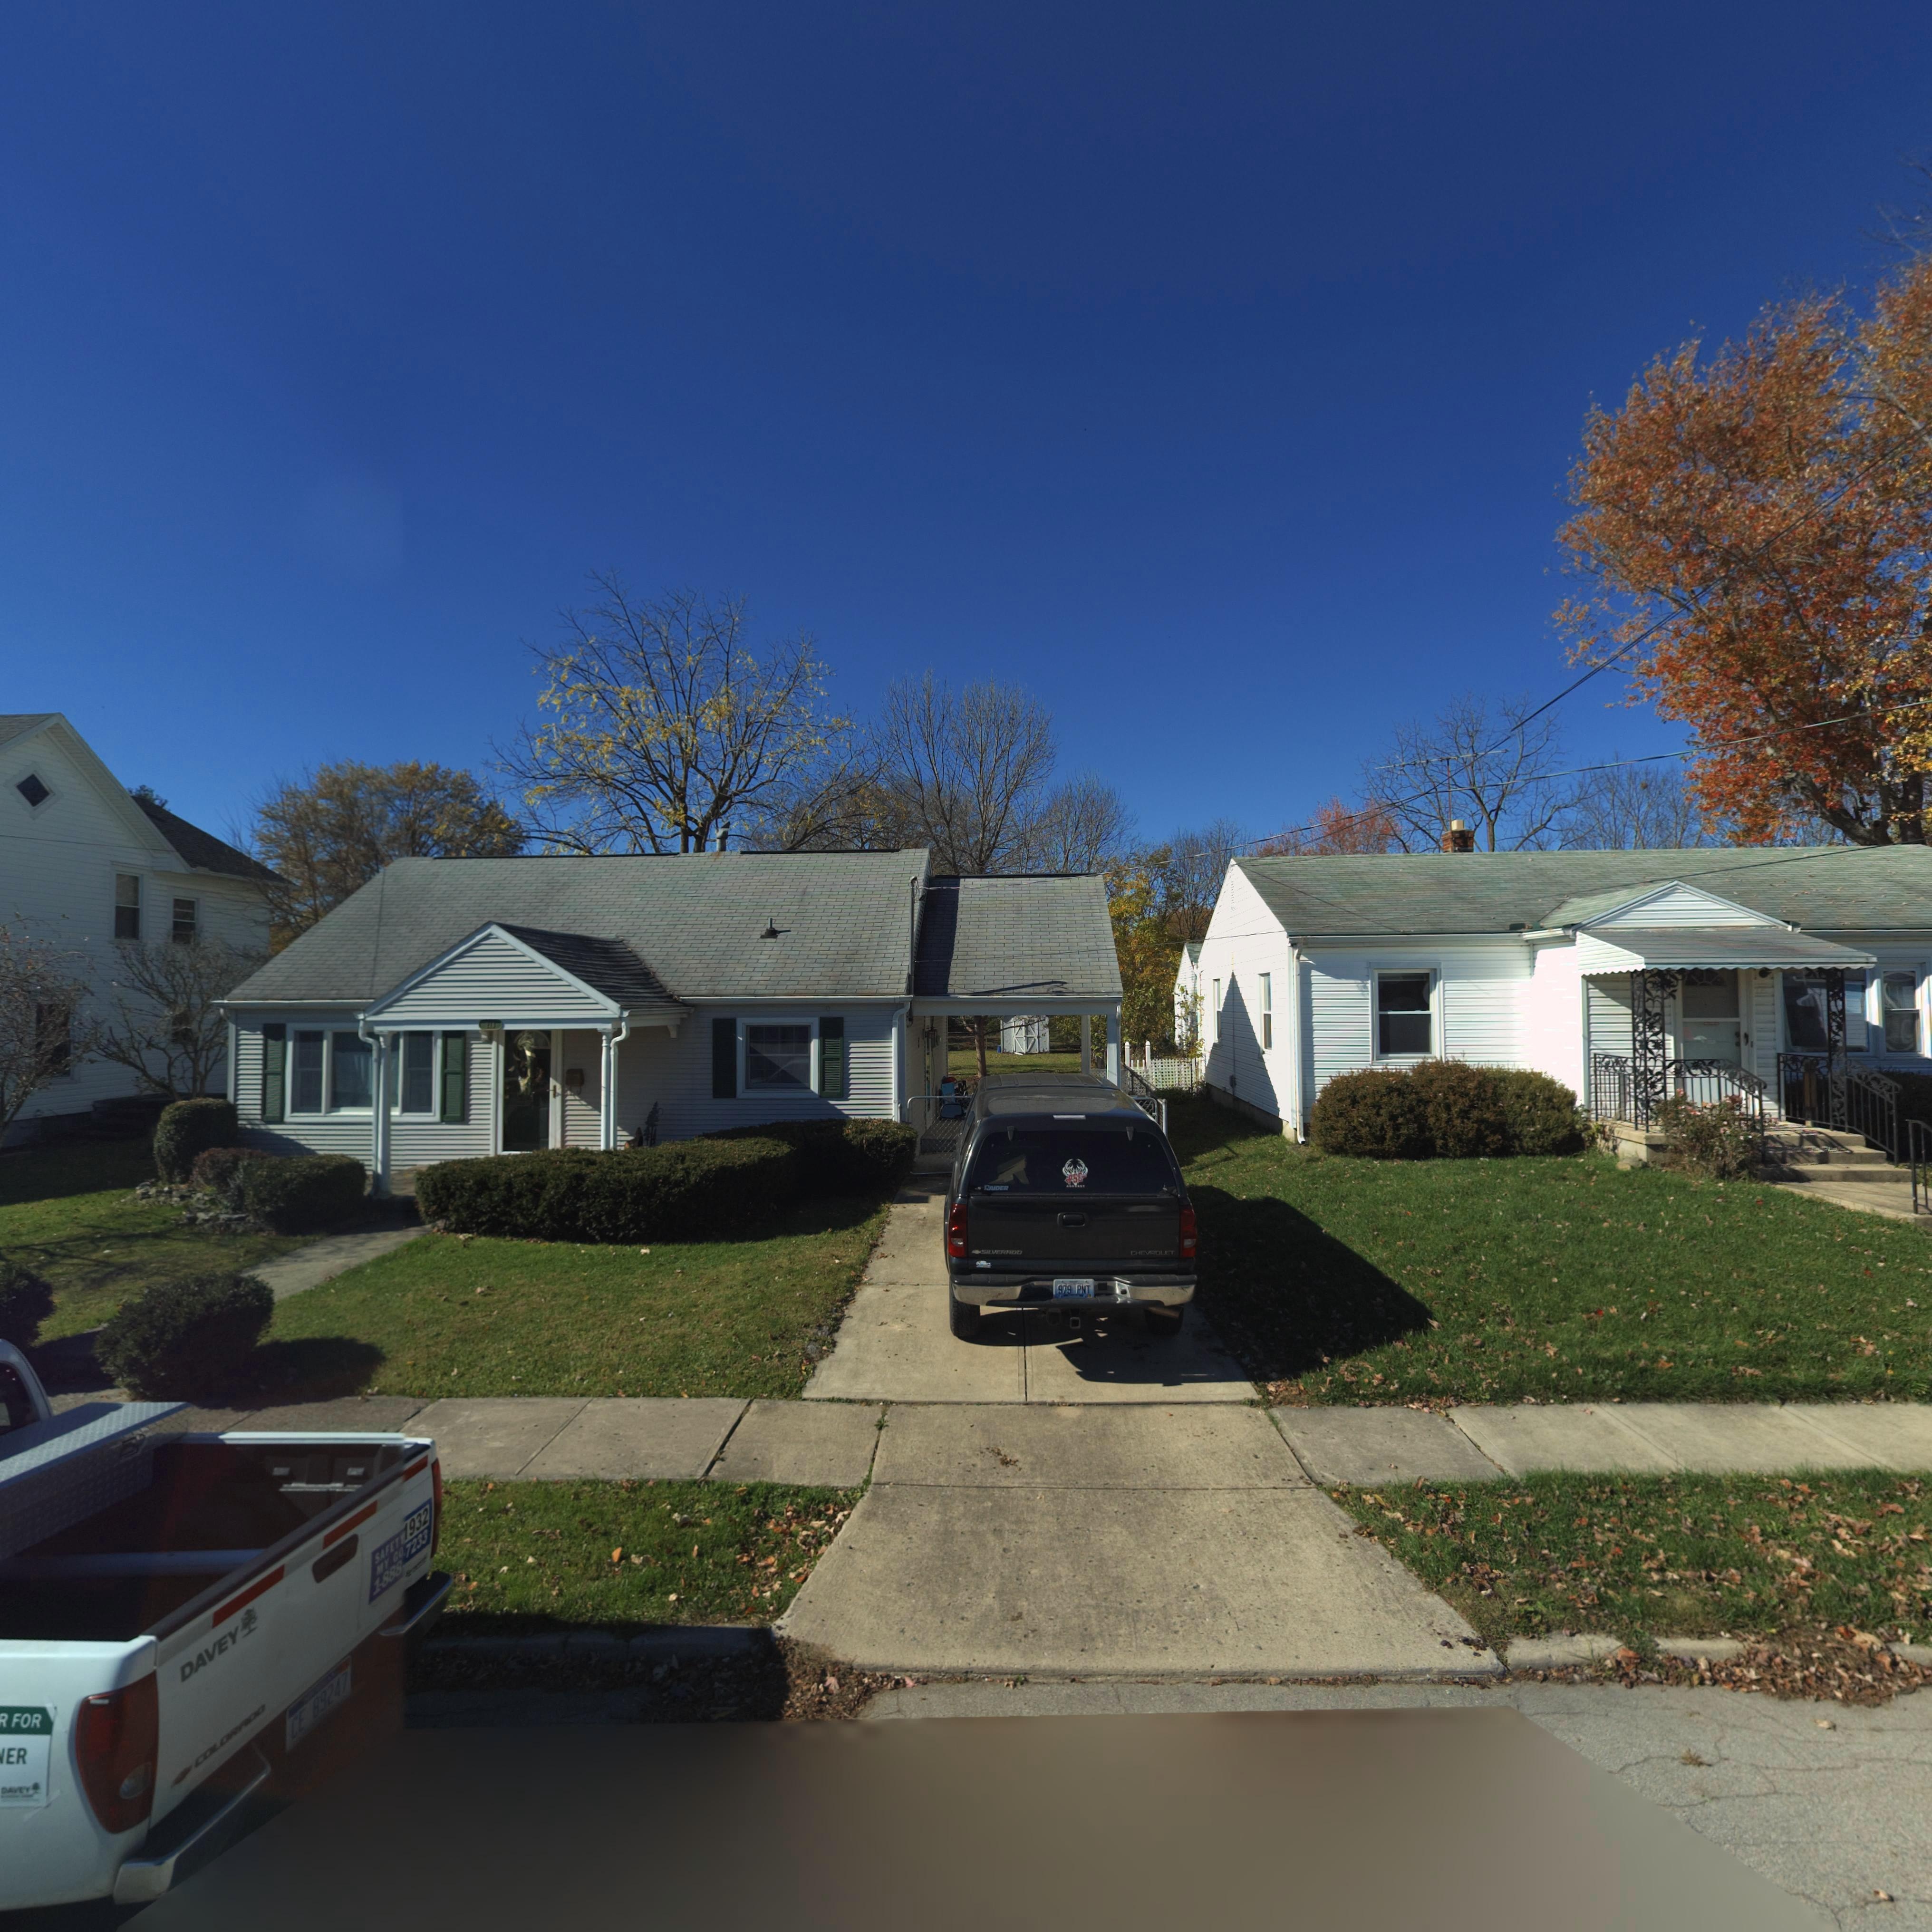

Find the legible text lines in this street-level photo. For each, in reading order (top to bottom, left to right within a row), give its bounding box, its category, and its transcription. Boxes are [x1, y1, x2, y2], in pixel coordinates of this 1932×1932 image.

[1754, 986, 1767, 994] StreetNumber: 2*5
[484, 1020, 495, 1029] StreetNumber: 21*
[983, 1184, 1009, 1191] None: RAIDER
[980, 1249, 1024, 1255] None: SILVERADO
[1130, 1250, 1176, 1256] None: CHEVROLET
[1057, 1284, 1091, 1295] None: 979*PNT
[403, 1505, 429, 1543] None: 1932
[373, 1534, 401, 1566] None: SAFET
[375, 1544, 404, 1579] None: MY*GO
[405, 1526, 428, 1560] None: 7233
[372, 1556, 404, 1599] None: 1-888
[178, 1623, 240, 1686] None: DAVEY
[10, 1712, 44, 1729] None: FOR
[193, 1700, 266, 1772] None: COLORADO
[290, 1667, 349, 1744] None: CE*89247
[5, 1747, 28, 1766] None: ER